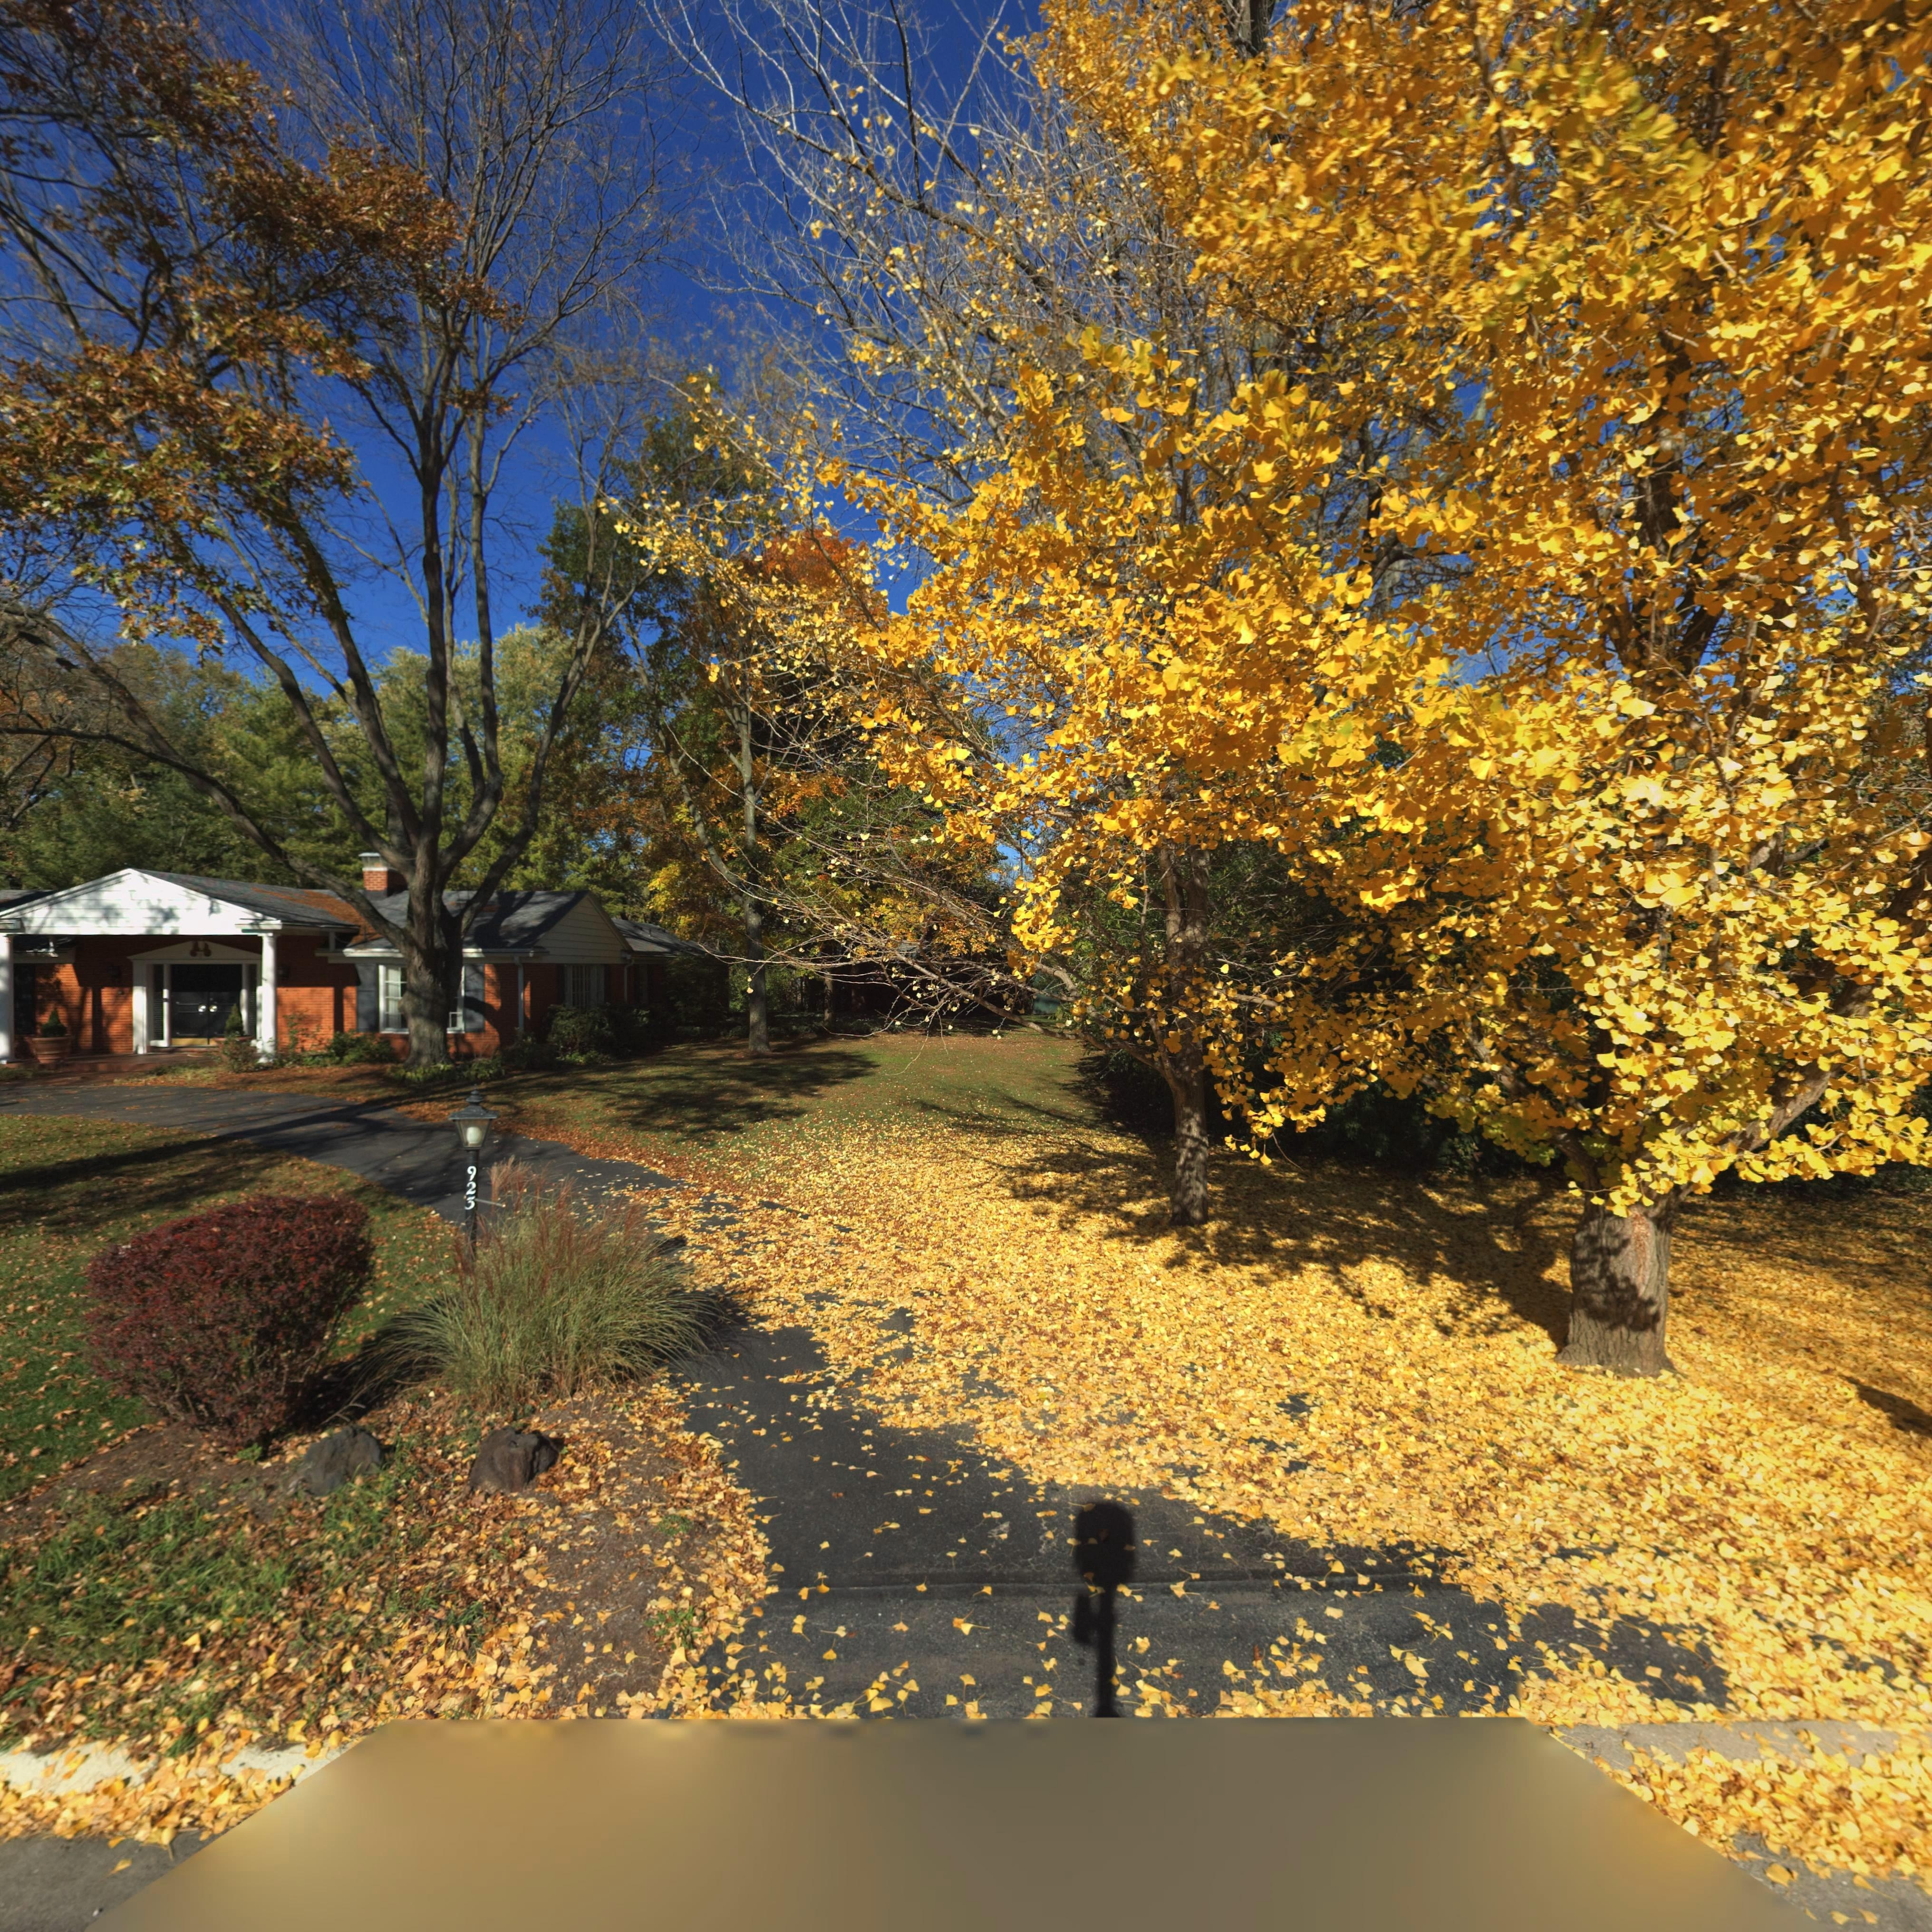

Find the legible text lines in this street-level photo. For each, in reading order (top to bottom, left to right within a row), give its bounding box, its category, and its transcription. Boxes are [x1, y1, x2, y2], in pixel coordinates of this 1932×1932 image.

[463, 1164, 478, 1212] StreetNumber: 923